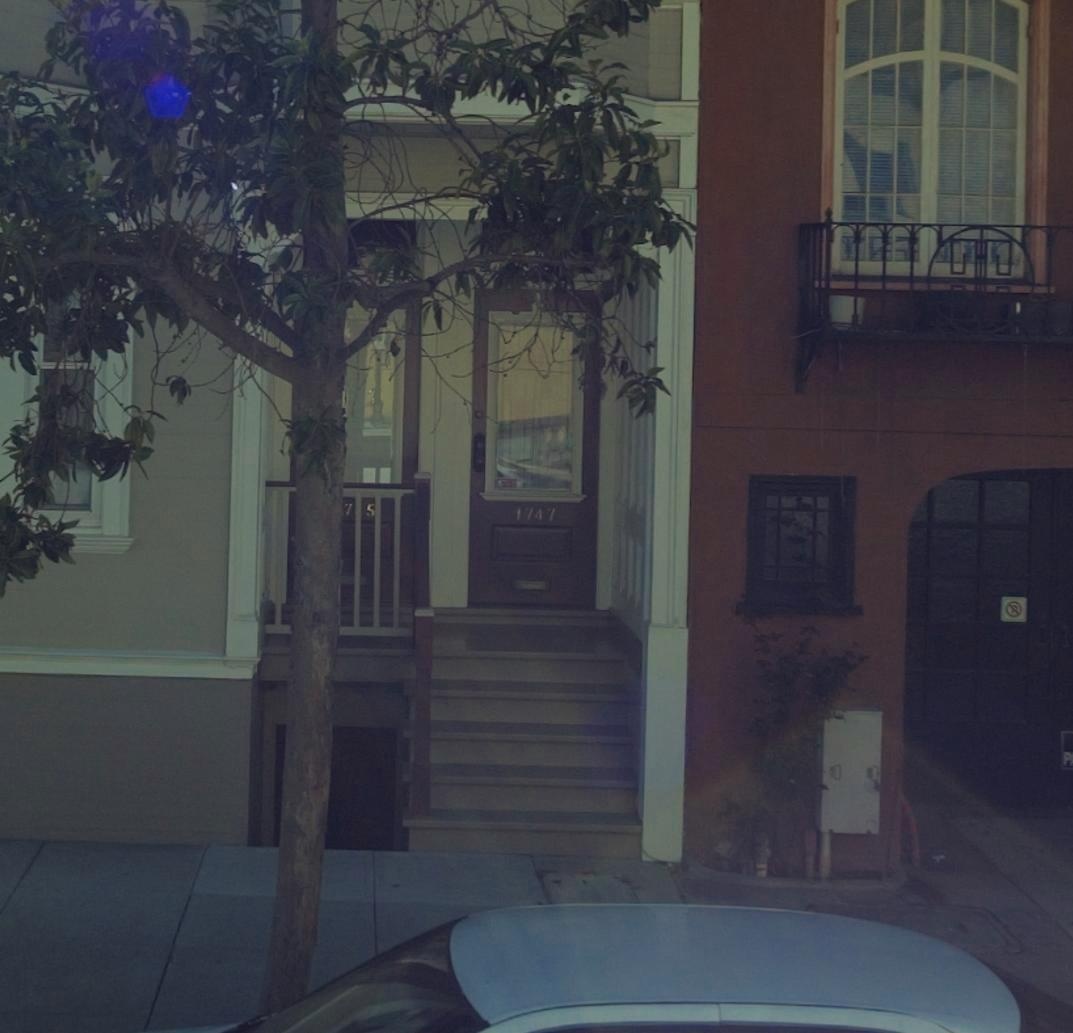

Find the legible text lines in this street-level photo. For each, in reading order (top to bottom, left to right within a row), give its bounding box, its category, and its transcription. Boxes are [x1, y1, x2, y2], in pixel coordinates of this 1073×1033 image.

[343, 501, 354, 517] StreetNumber: 7
[365, 501, 376, 518] StreetNumber: 5
[514, 506, 557, 523] StreetNumber: 1747